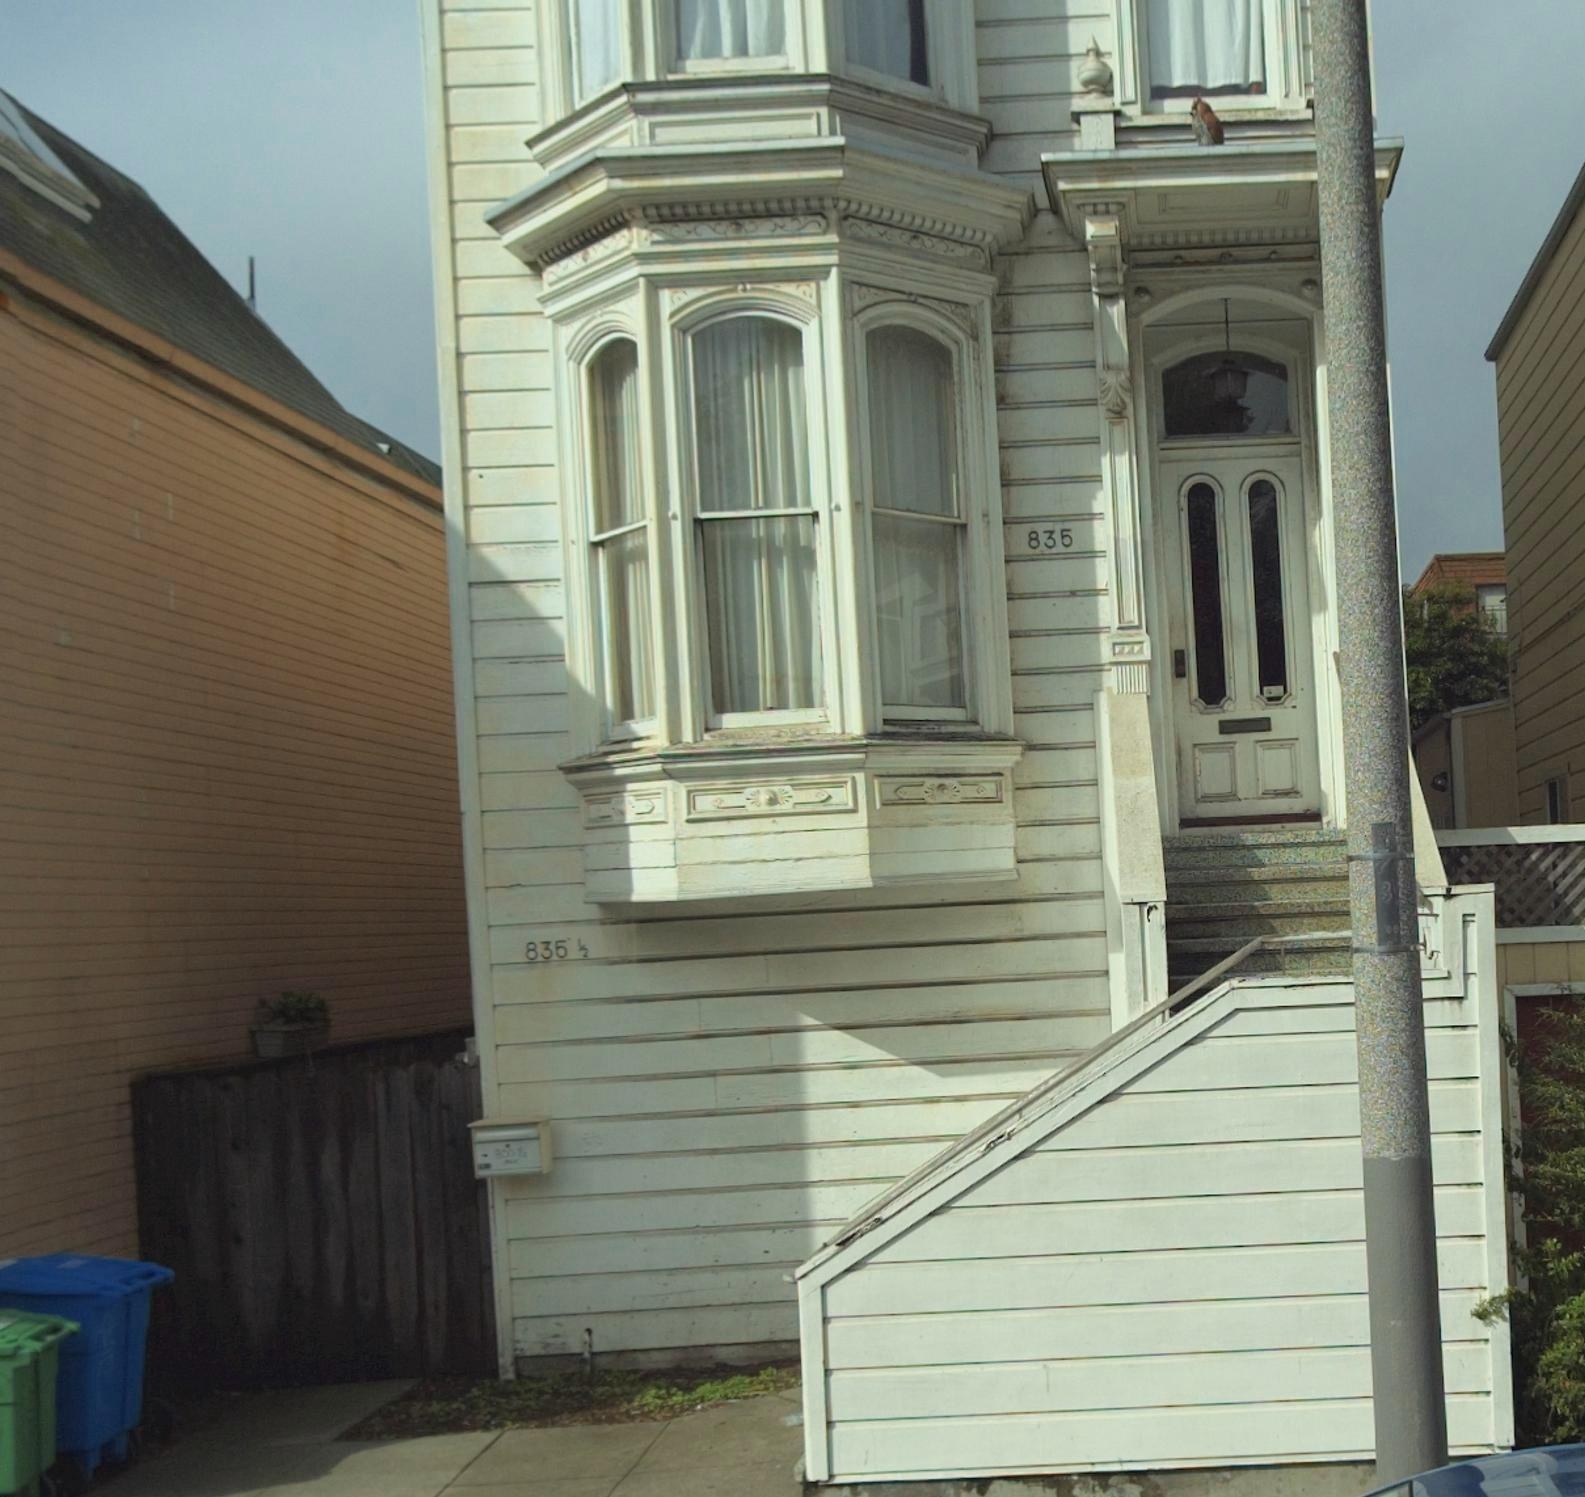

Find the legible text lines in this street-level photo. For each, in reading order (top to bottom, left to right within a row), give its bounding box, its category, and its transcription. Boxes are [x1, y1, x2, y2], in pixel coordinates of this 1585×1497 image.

[1026, 525, 1076, 552] StreetNumber: 835
[522, 934, 592, 963] StreetNumber: 835 1/2